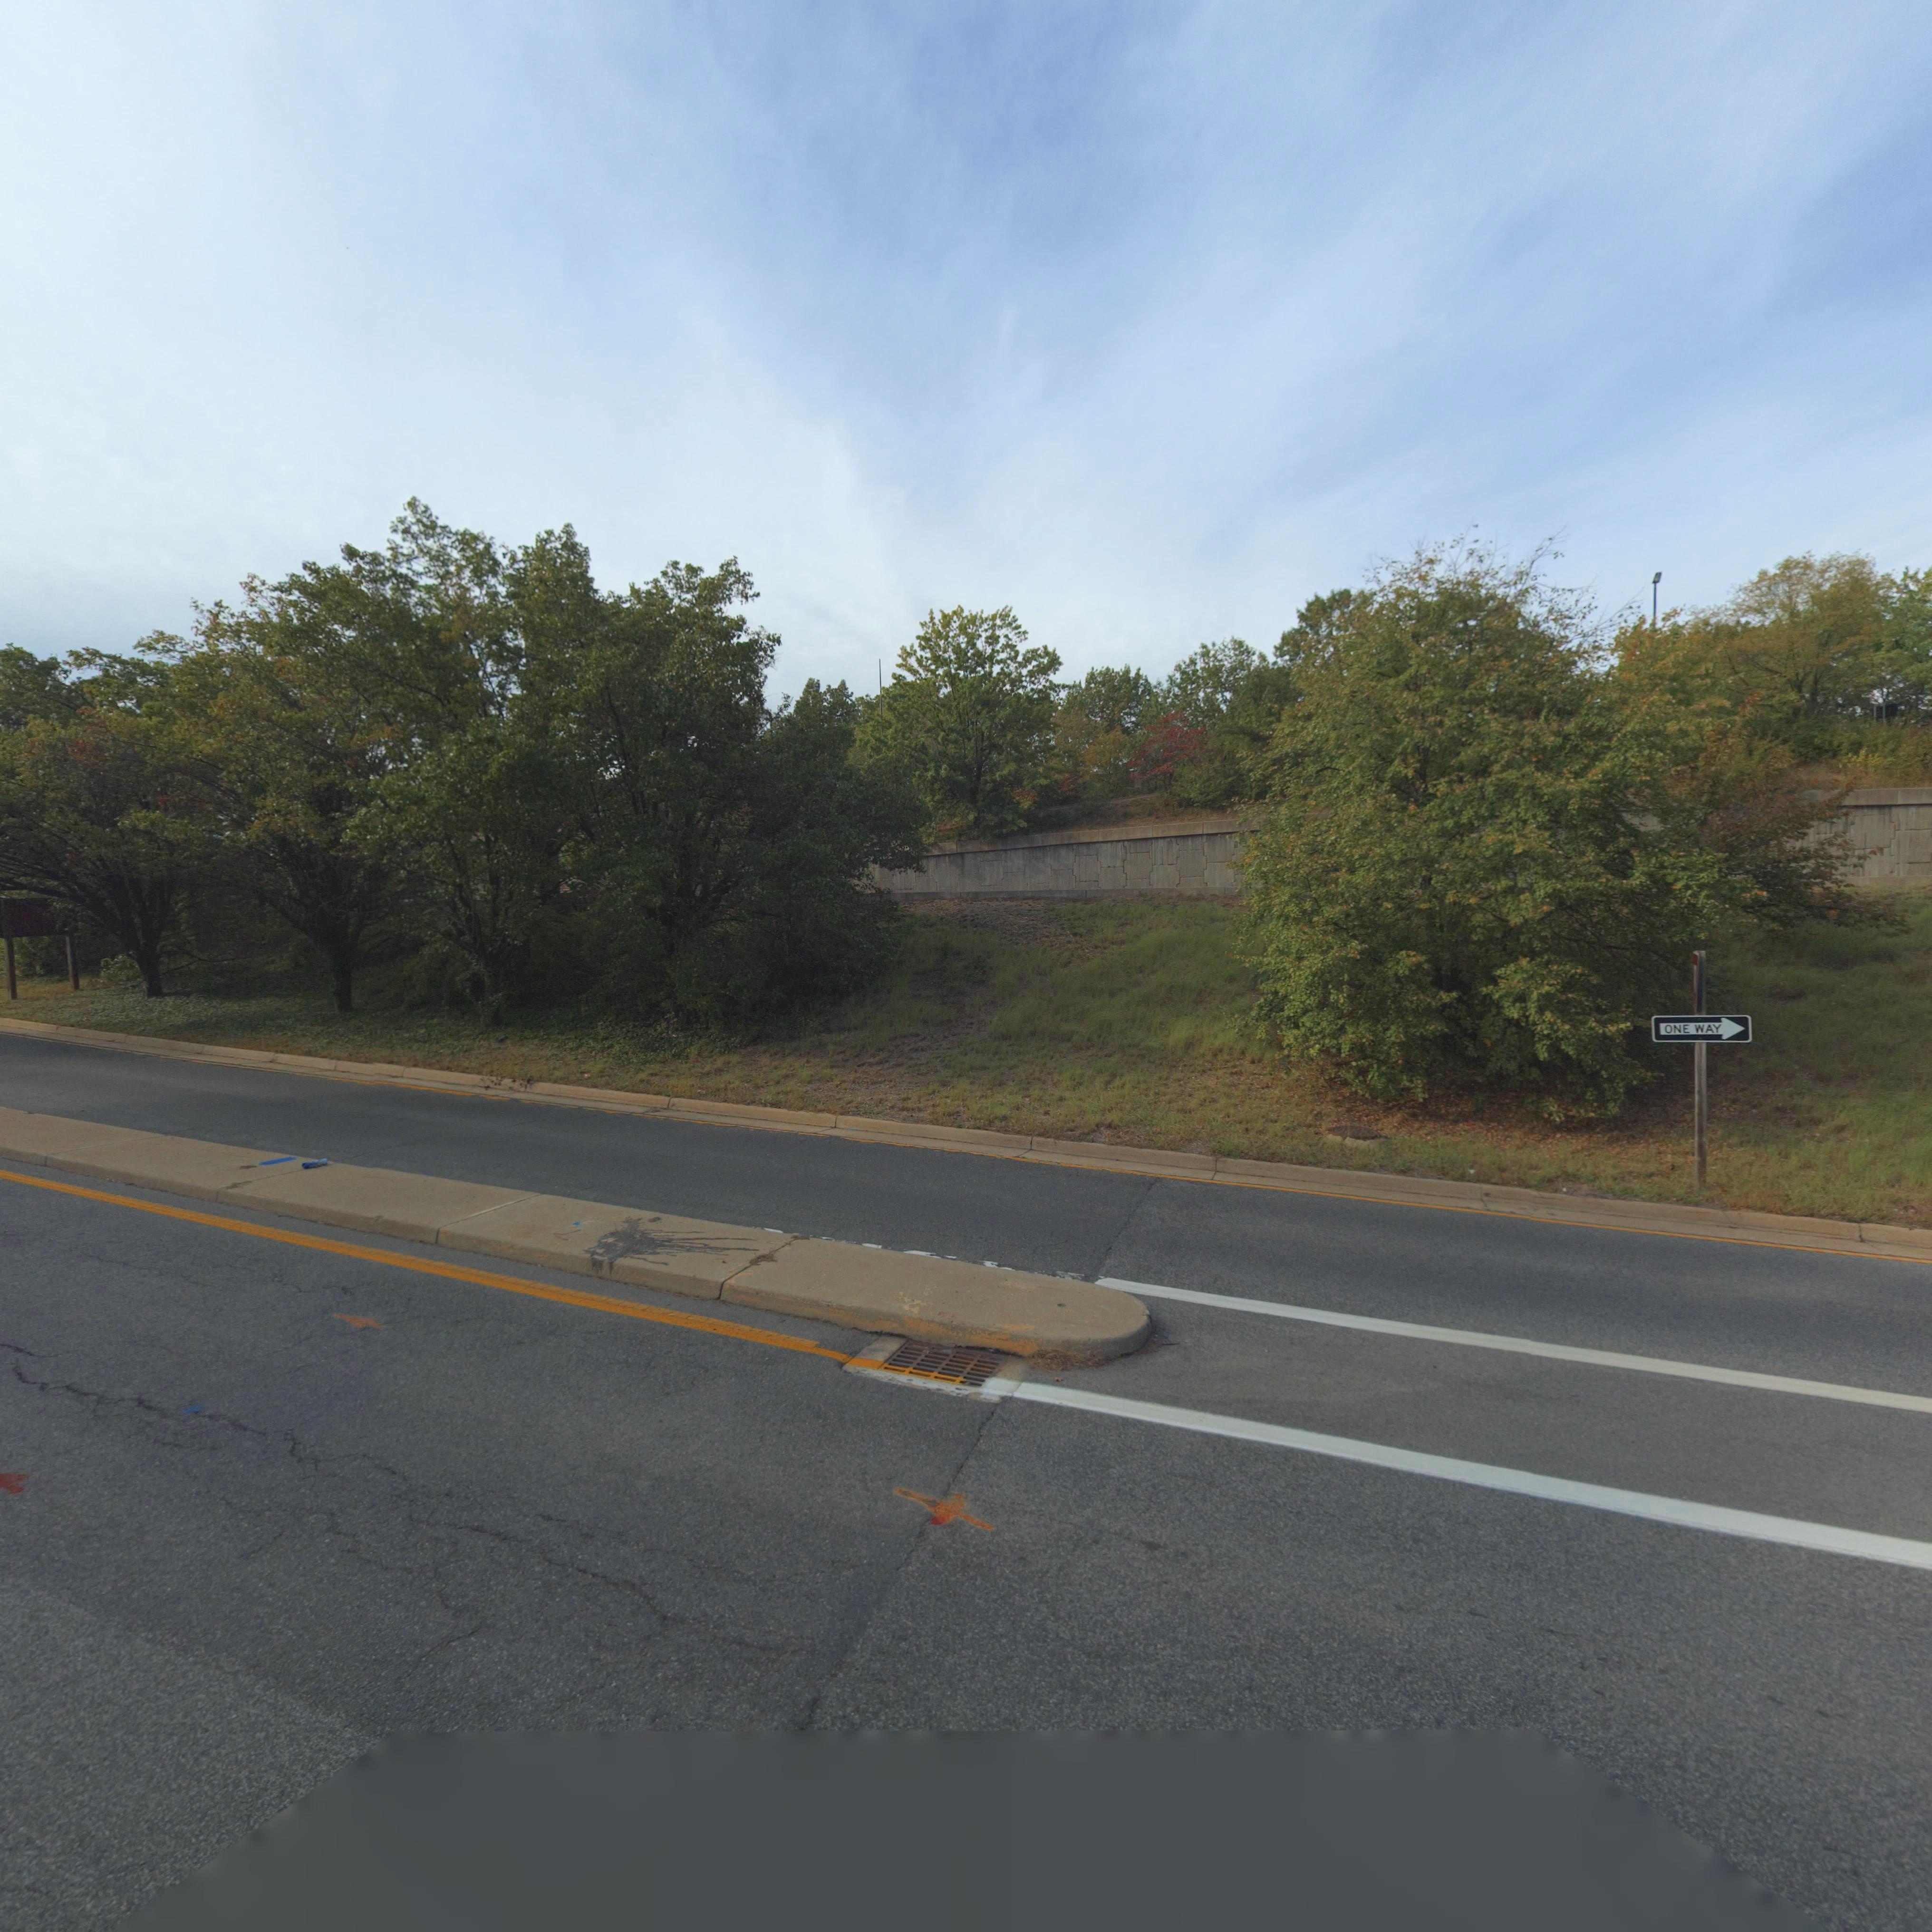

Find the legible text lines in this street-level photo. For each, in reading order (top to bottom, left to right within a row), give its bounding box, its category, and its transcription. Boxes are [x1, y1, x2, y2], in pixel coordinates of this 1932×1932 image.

[1662, 1022, 1723, 1038] None: ONE WAY